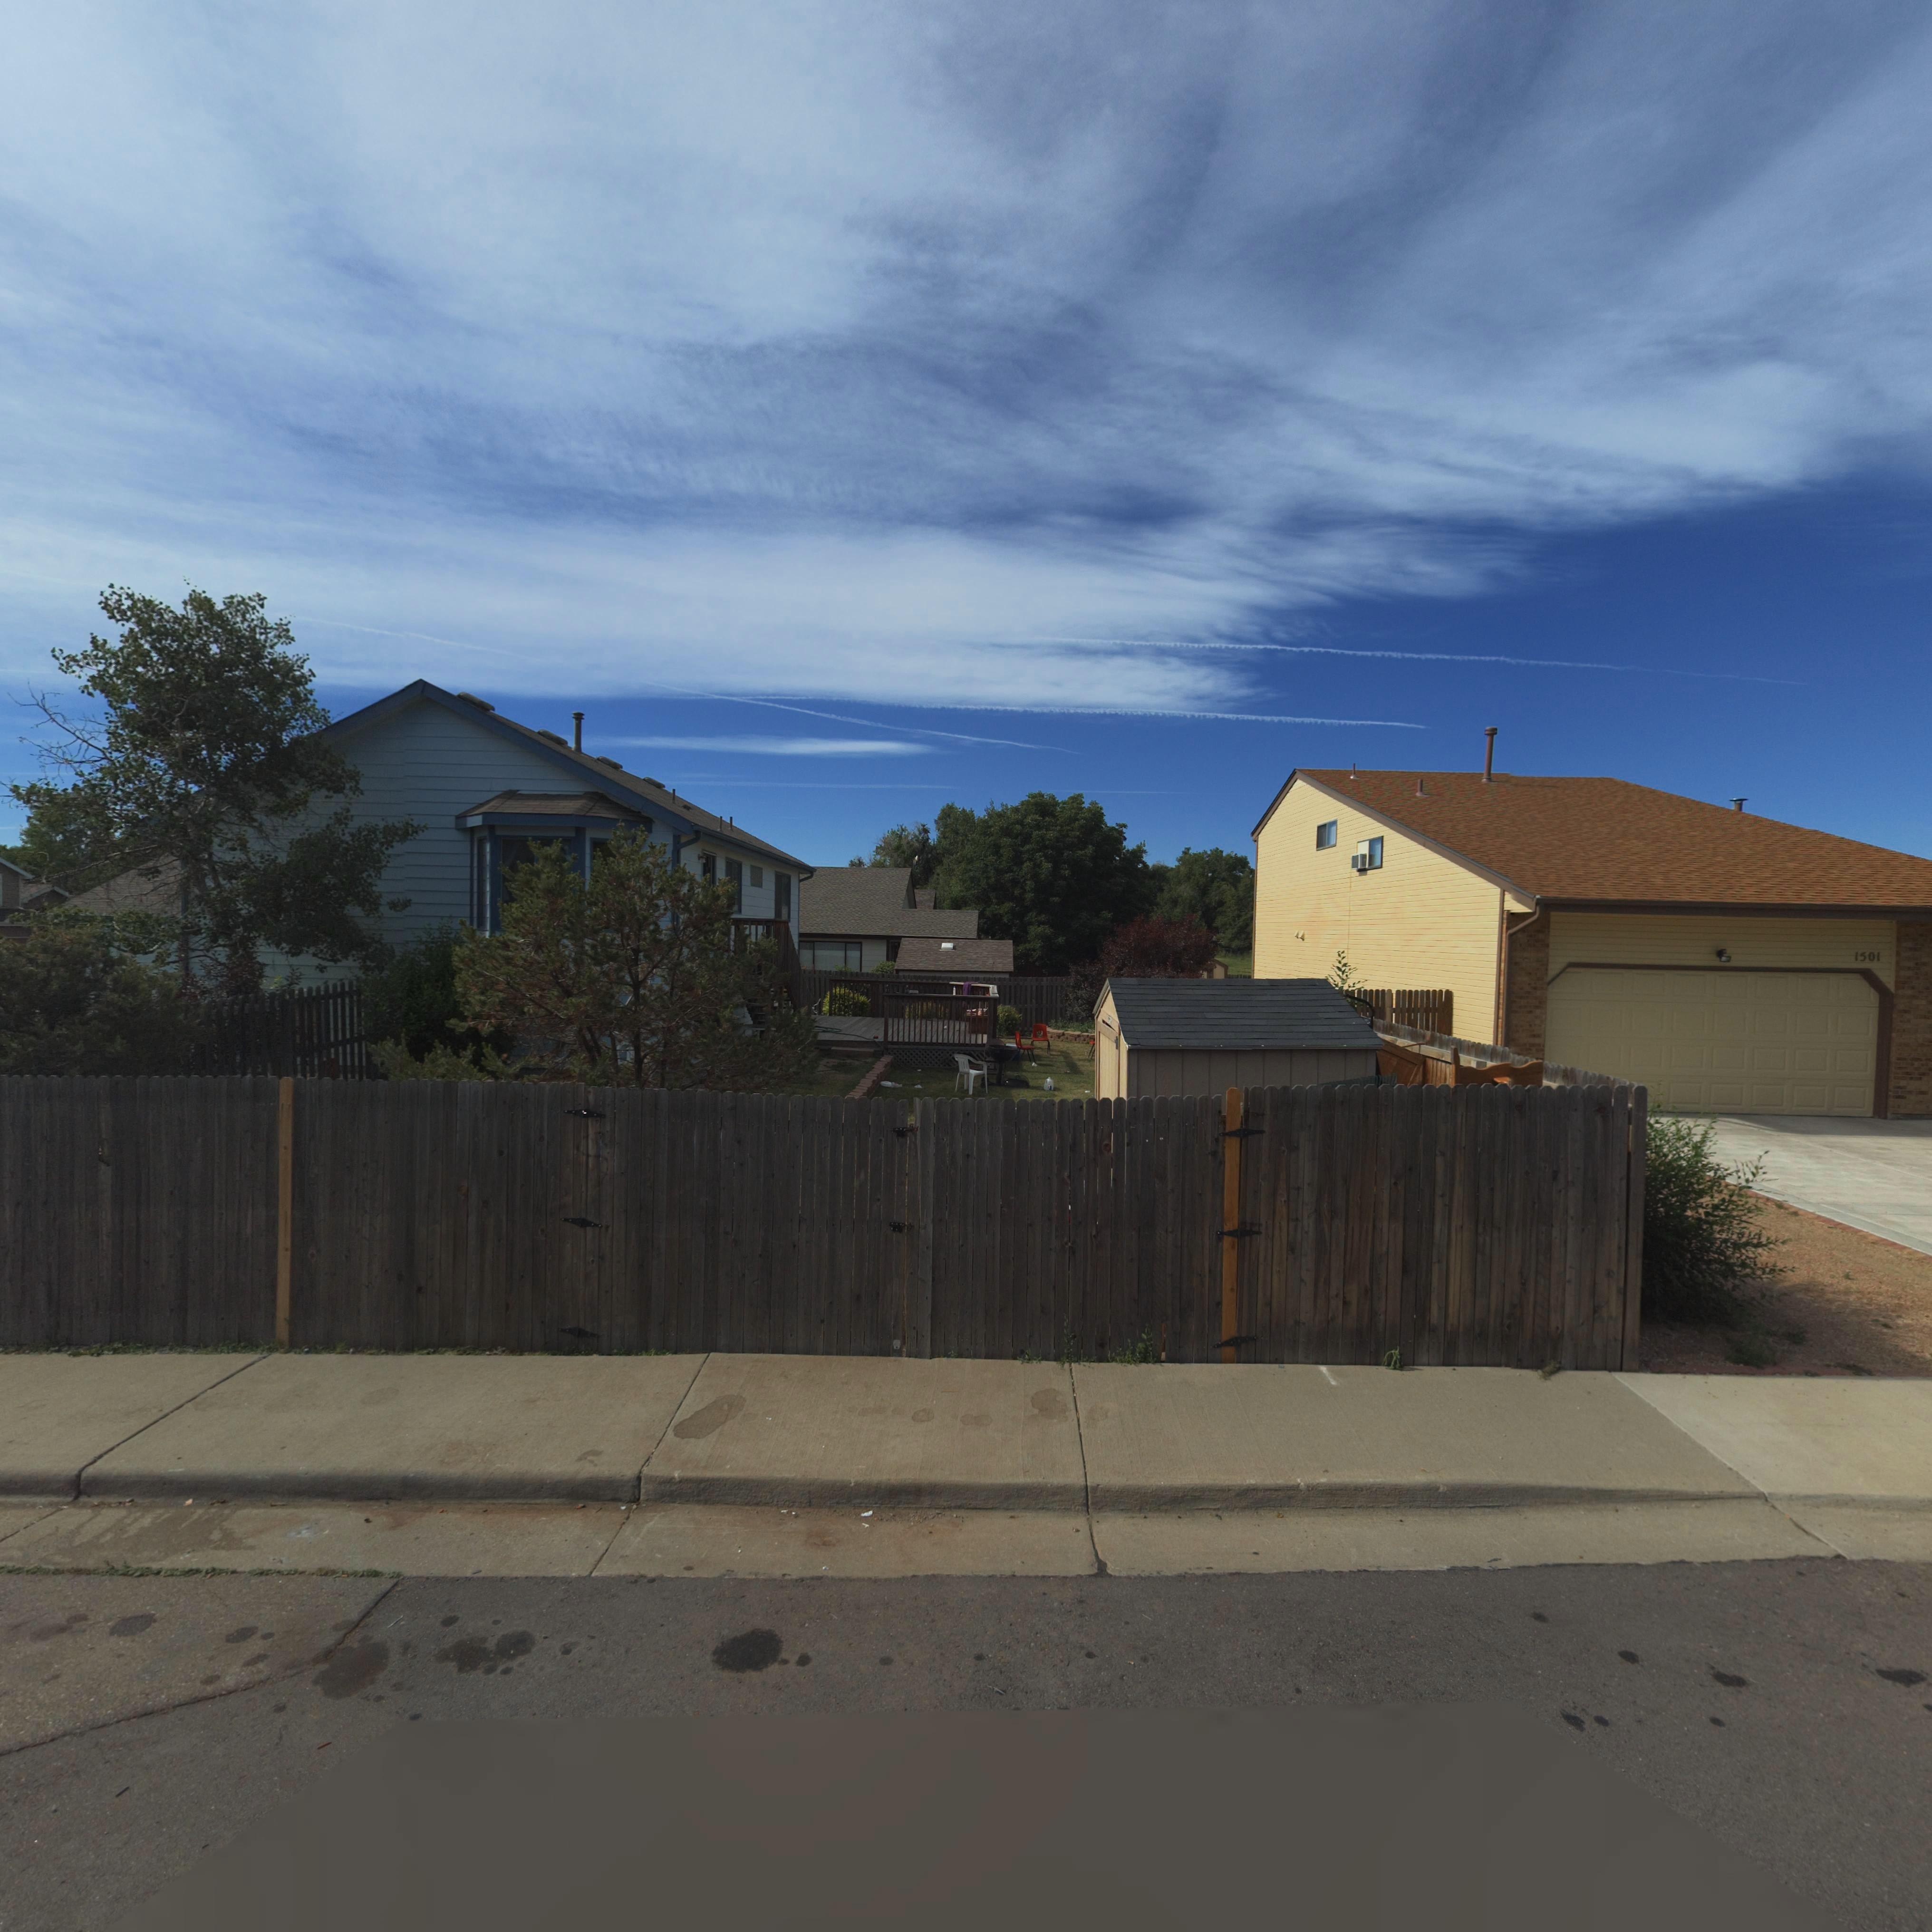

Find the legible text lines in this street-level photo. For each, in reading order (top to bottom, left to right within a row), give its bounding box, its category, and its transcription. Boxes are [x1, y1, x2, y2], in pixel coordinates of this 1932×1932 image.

[1854, 950, 1880, 962] StreetNumber: 1501